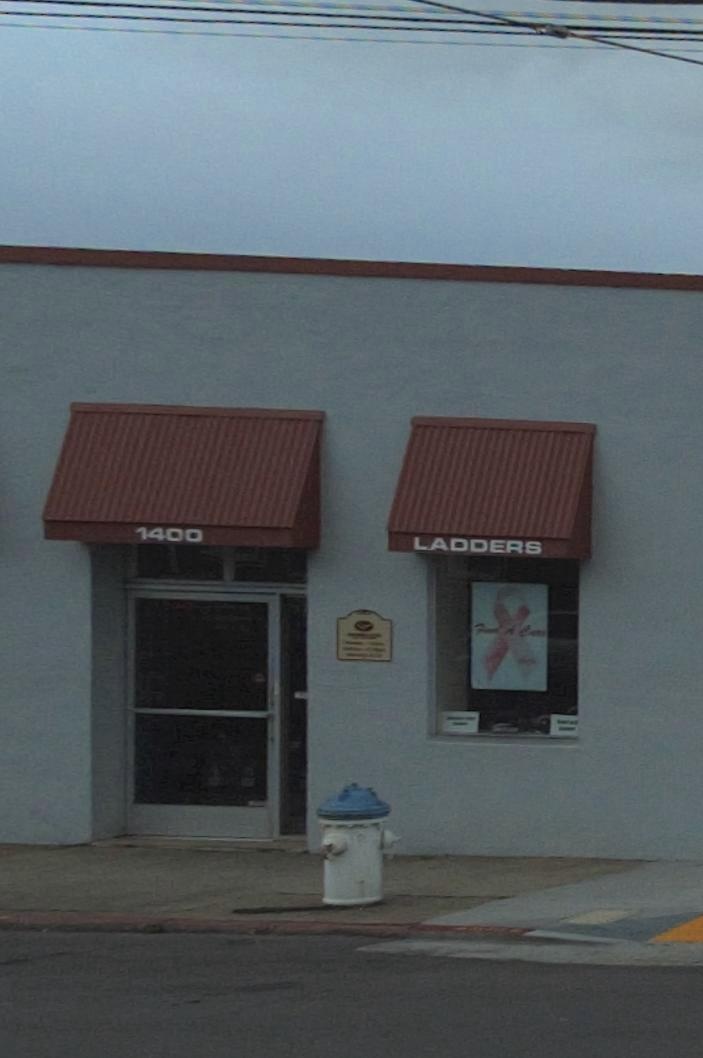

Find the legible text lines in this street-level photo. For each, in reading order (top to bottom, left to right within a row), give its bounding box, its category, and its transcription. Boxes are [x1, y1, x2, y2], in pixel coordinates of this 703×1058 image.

[135, 525, 204, 543] StreetNumber: 1400
[413, 536, 543, 555] BusinessName: LADDERS